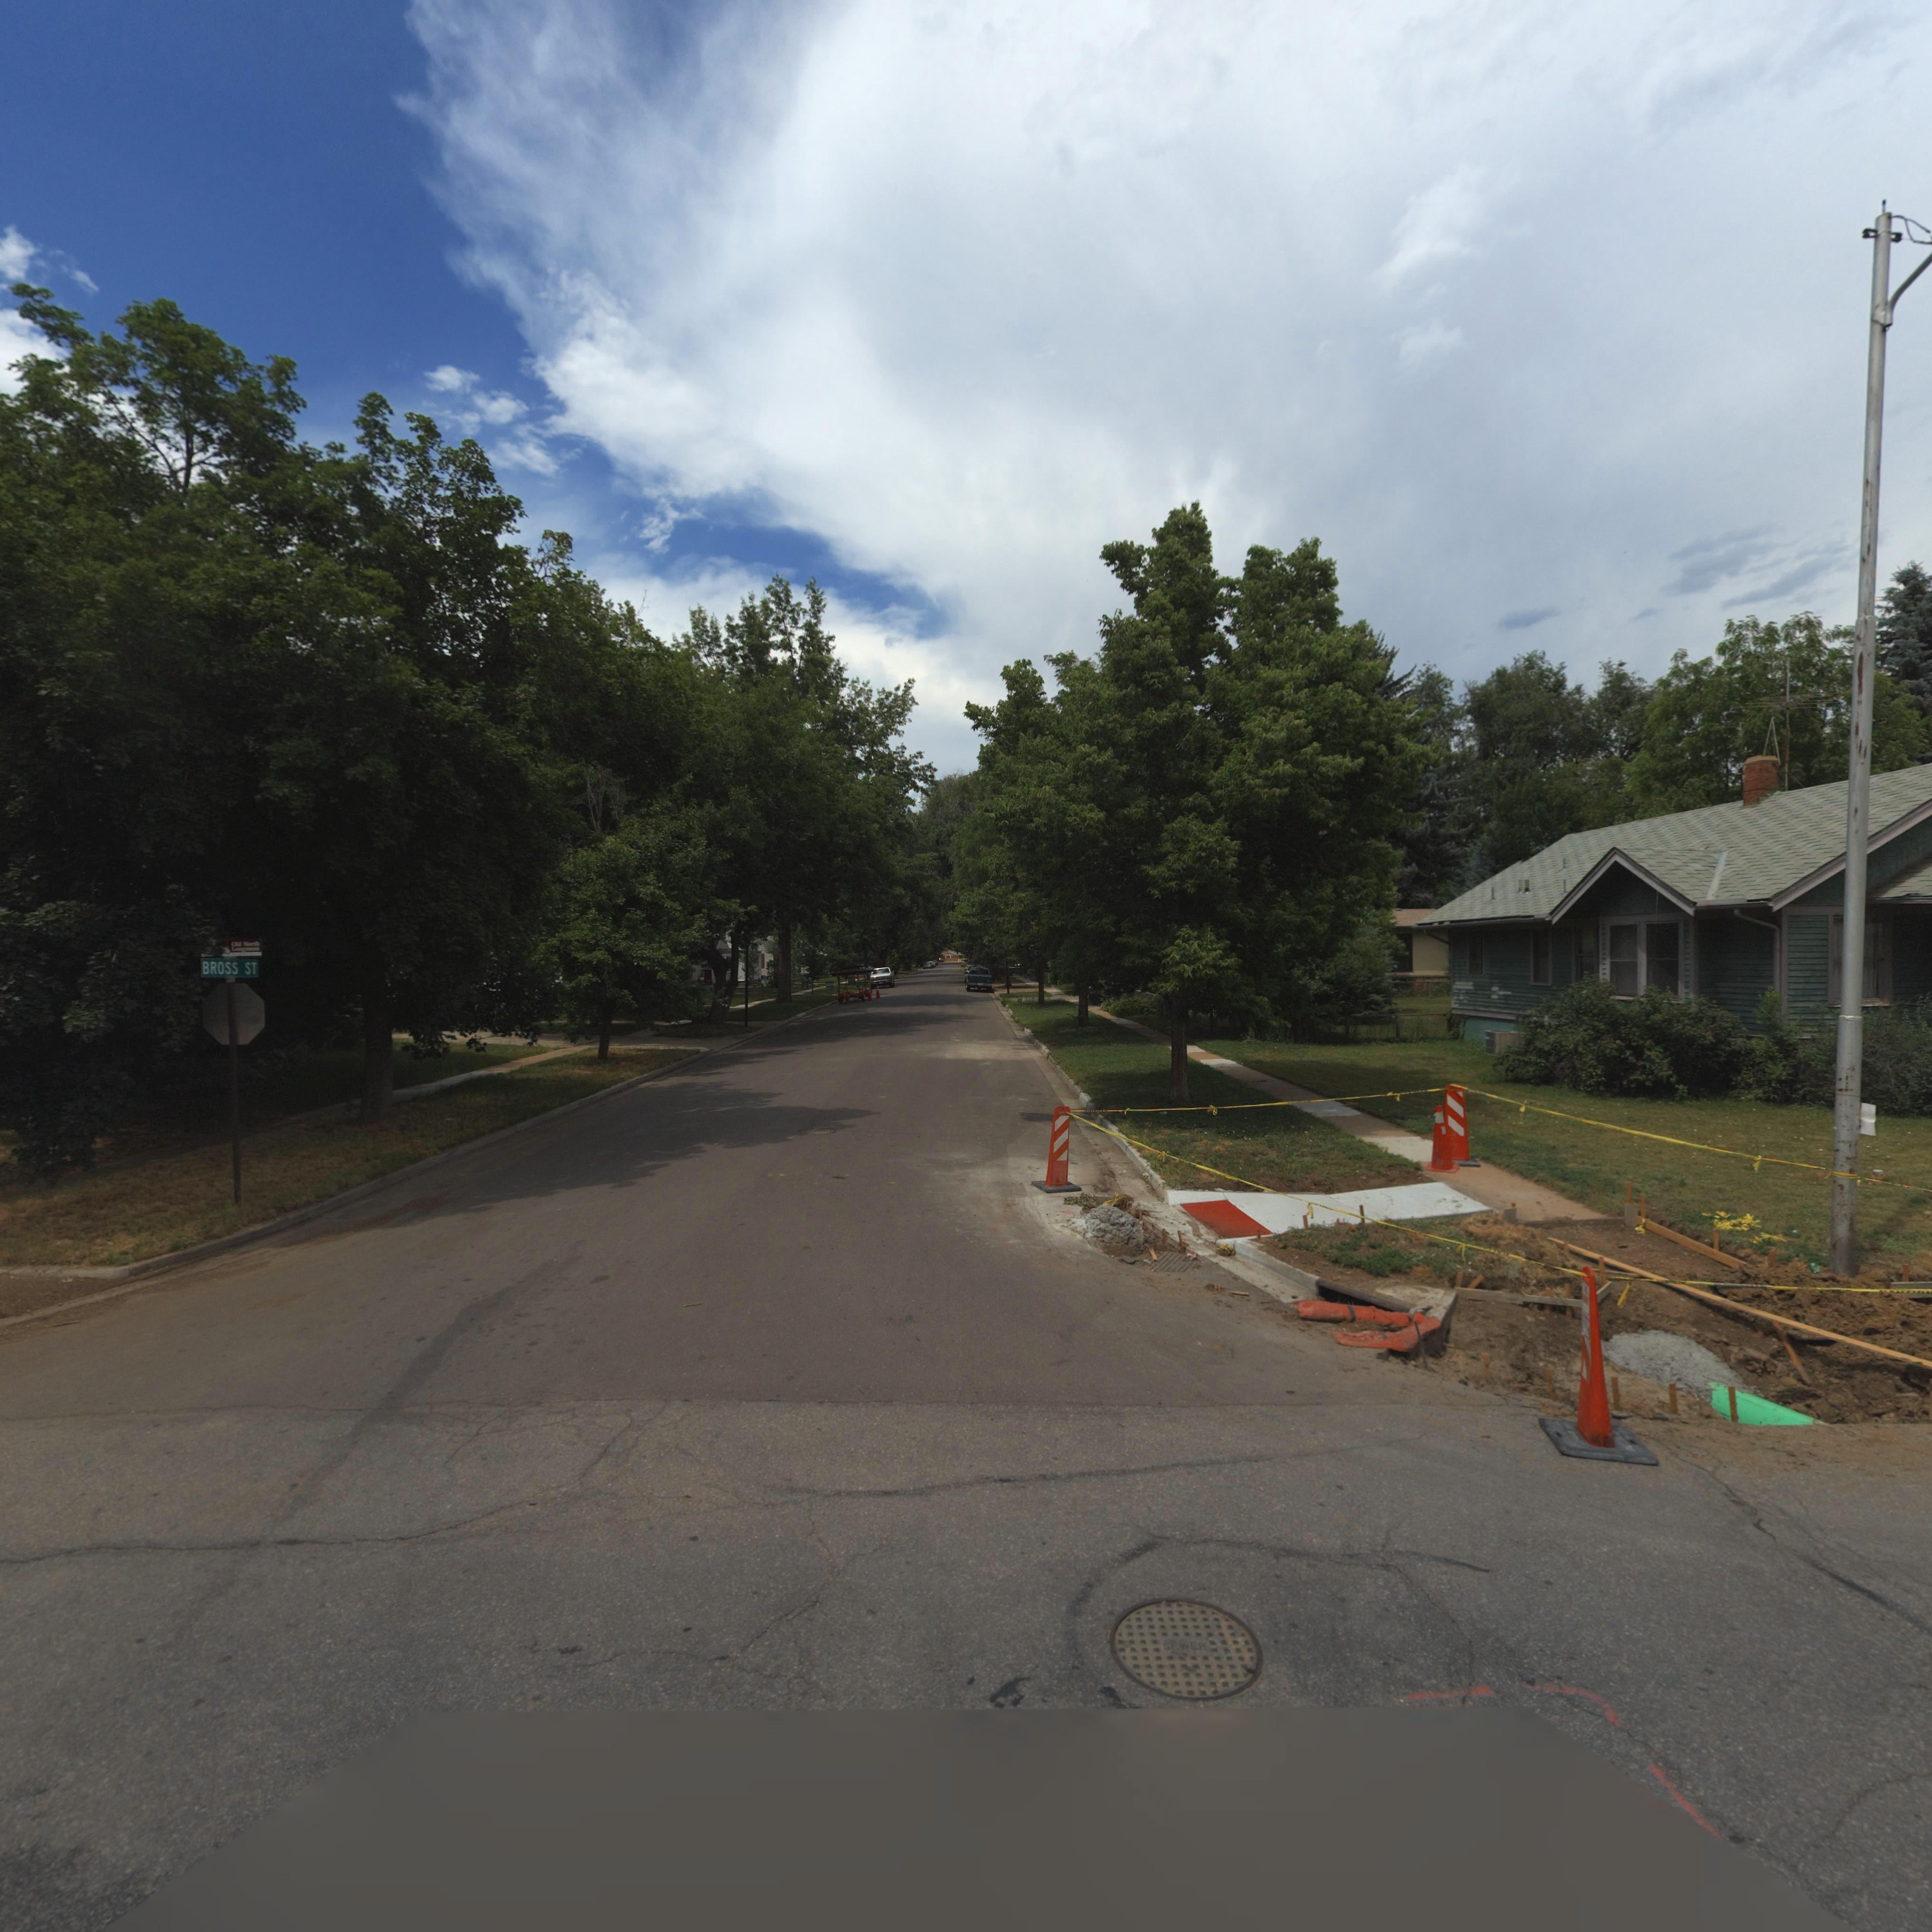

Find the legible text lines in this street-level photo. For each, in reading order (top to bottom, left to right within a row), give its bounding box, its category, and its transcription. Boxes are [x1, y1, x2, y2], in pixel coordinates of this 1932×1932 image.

[202, 960, 257, 975] StreetName: BROSS ST